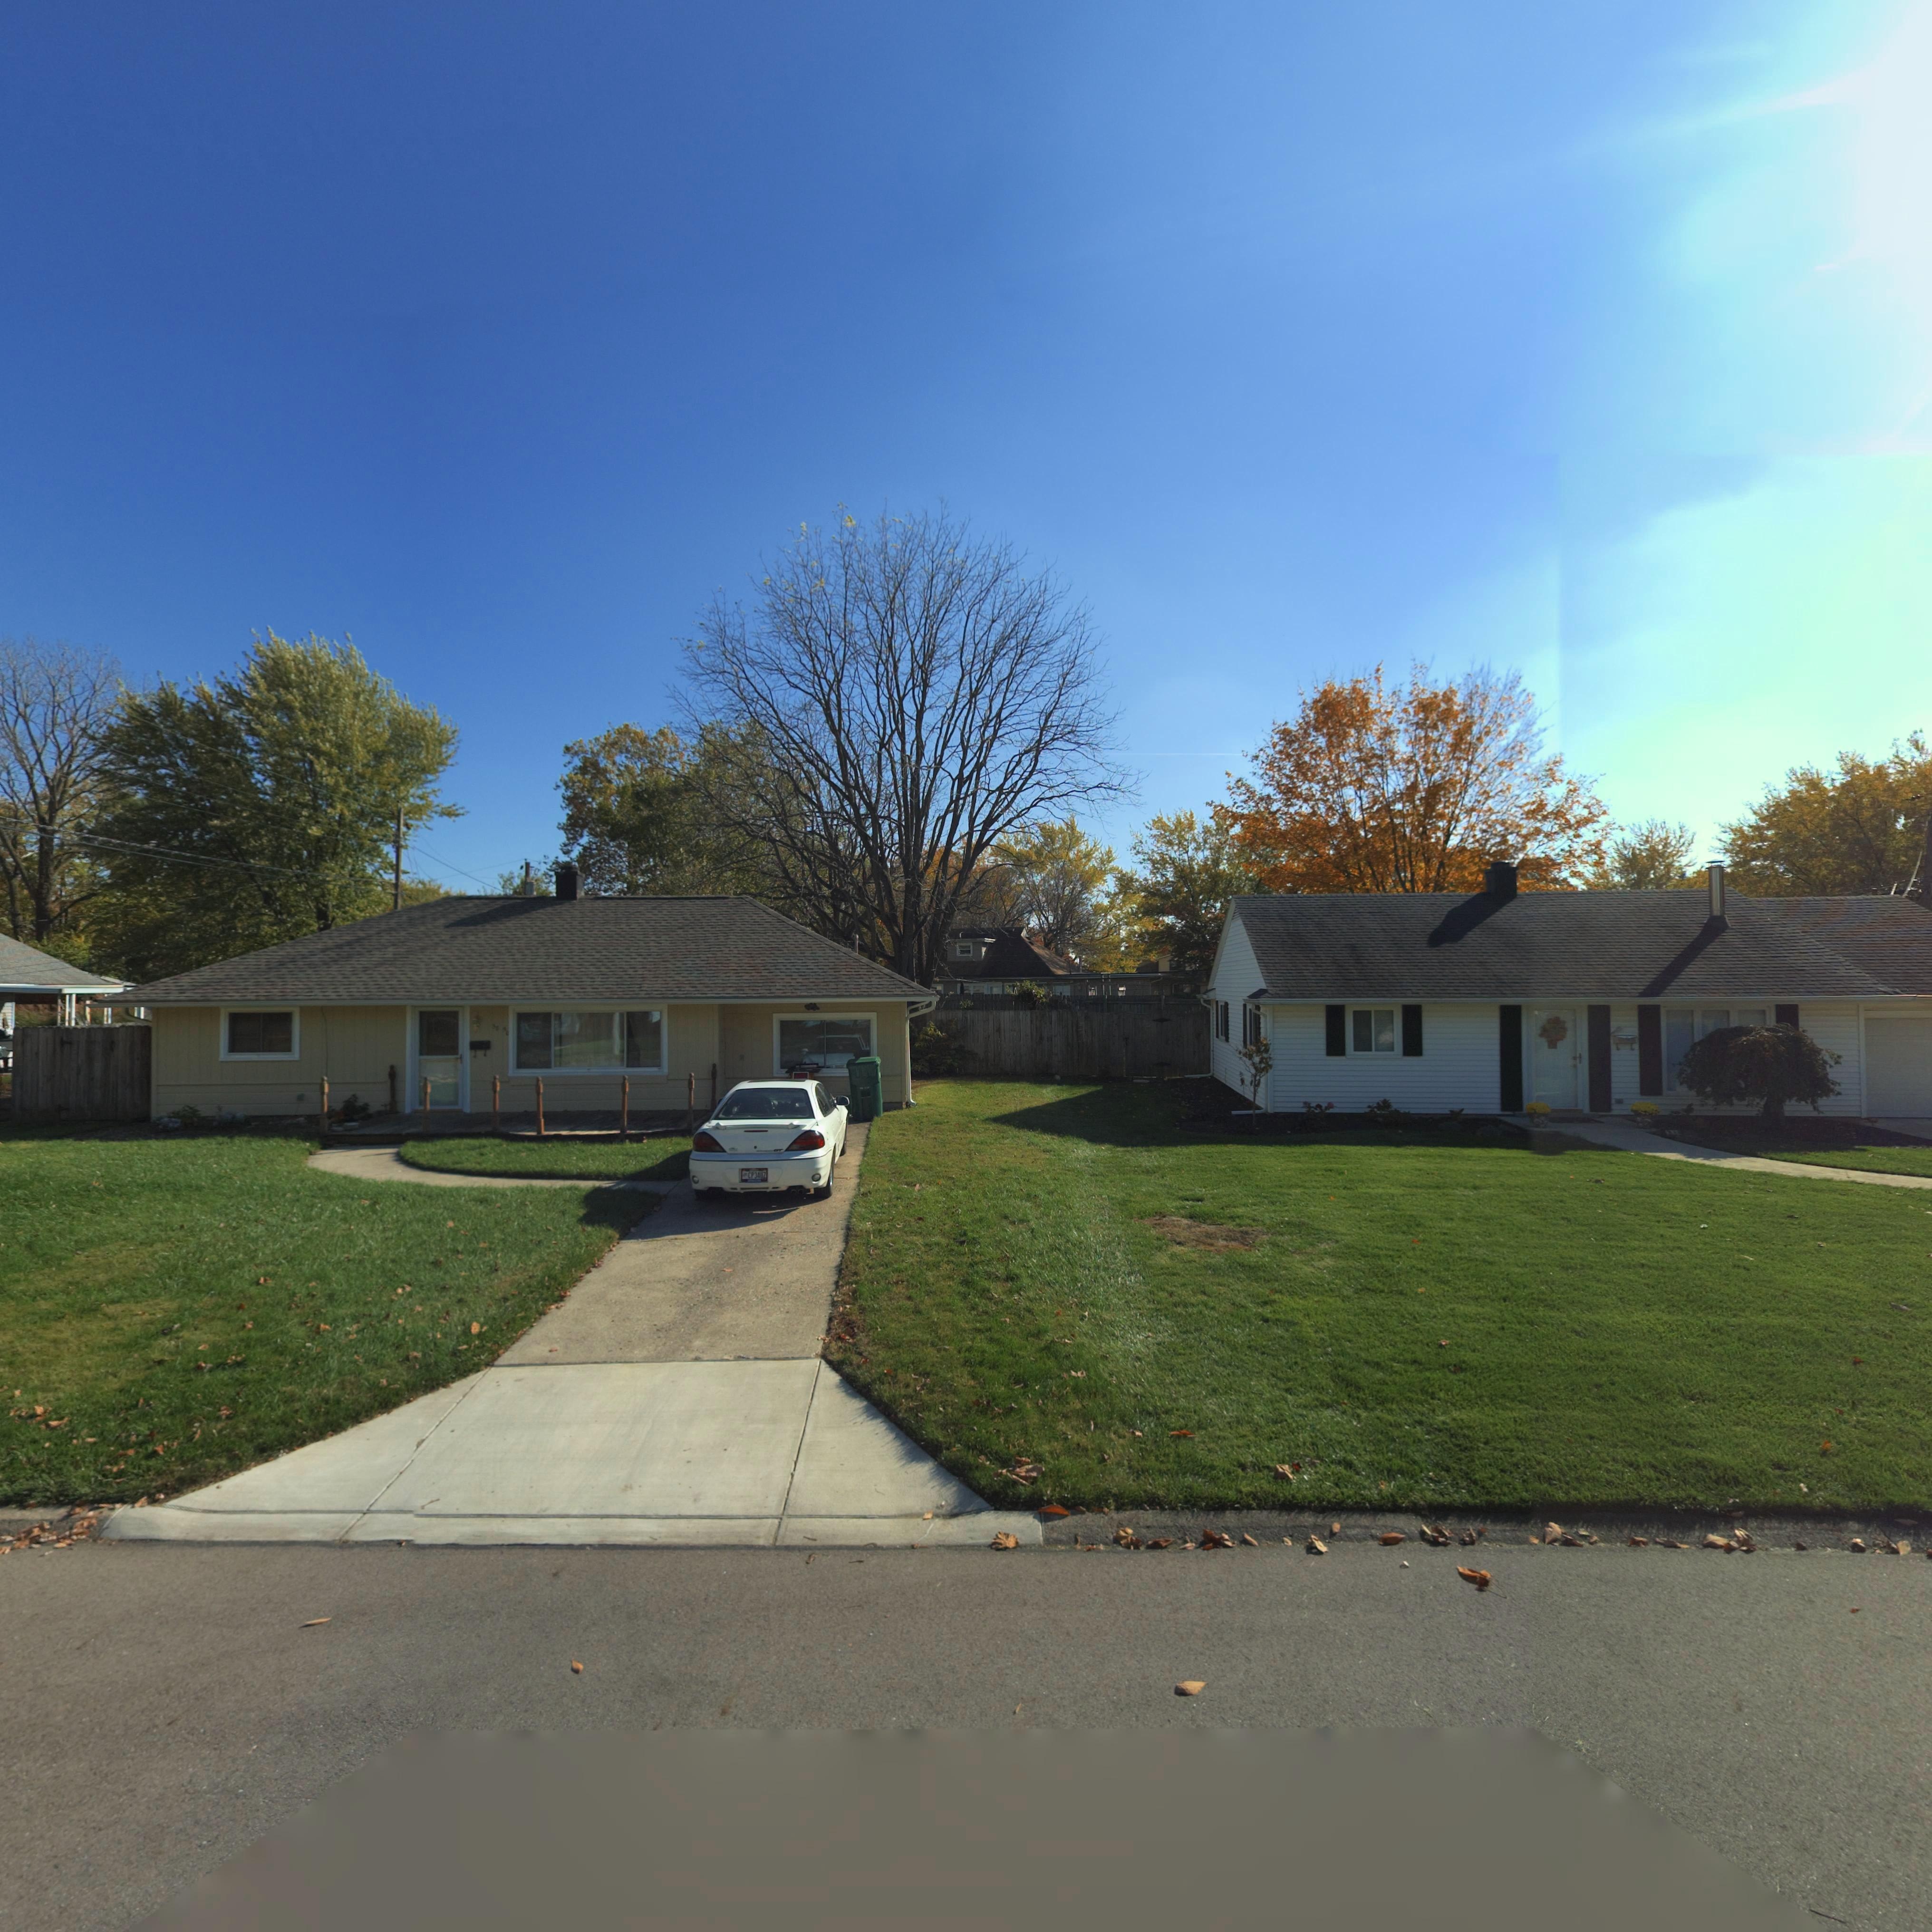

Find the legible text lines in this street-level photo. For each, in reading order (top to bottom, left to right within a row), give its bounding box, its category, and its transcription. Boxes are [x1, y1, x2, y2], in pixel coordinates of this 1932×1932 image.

[747, 1171, 767, 1180] None: CP34UZ